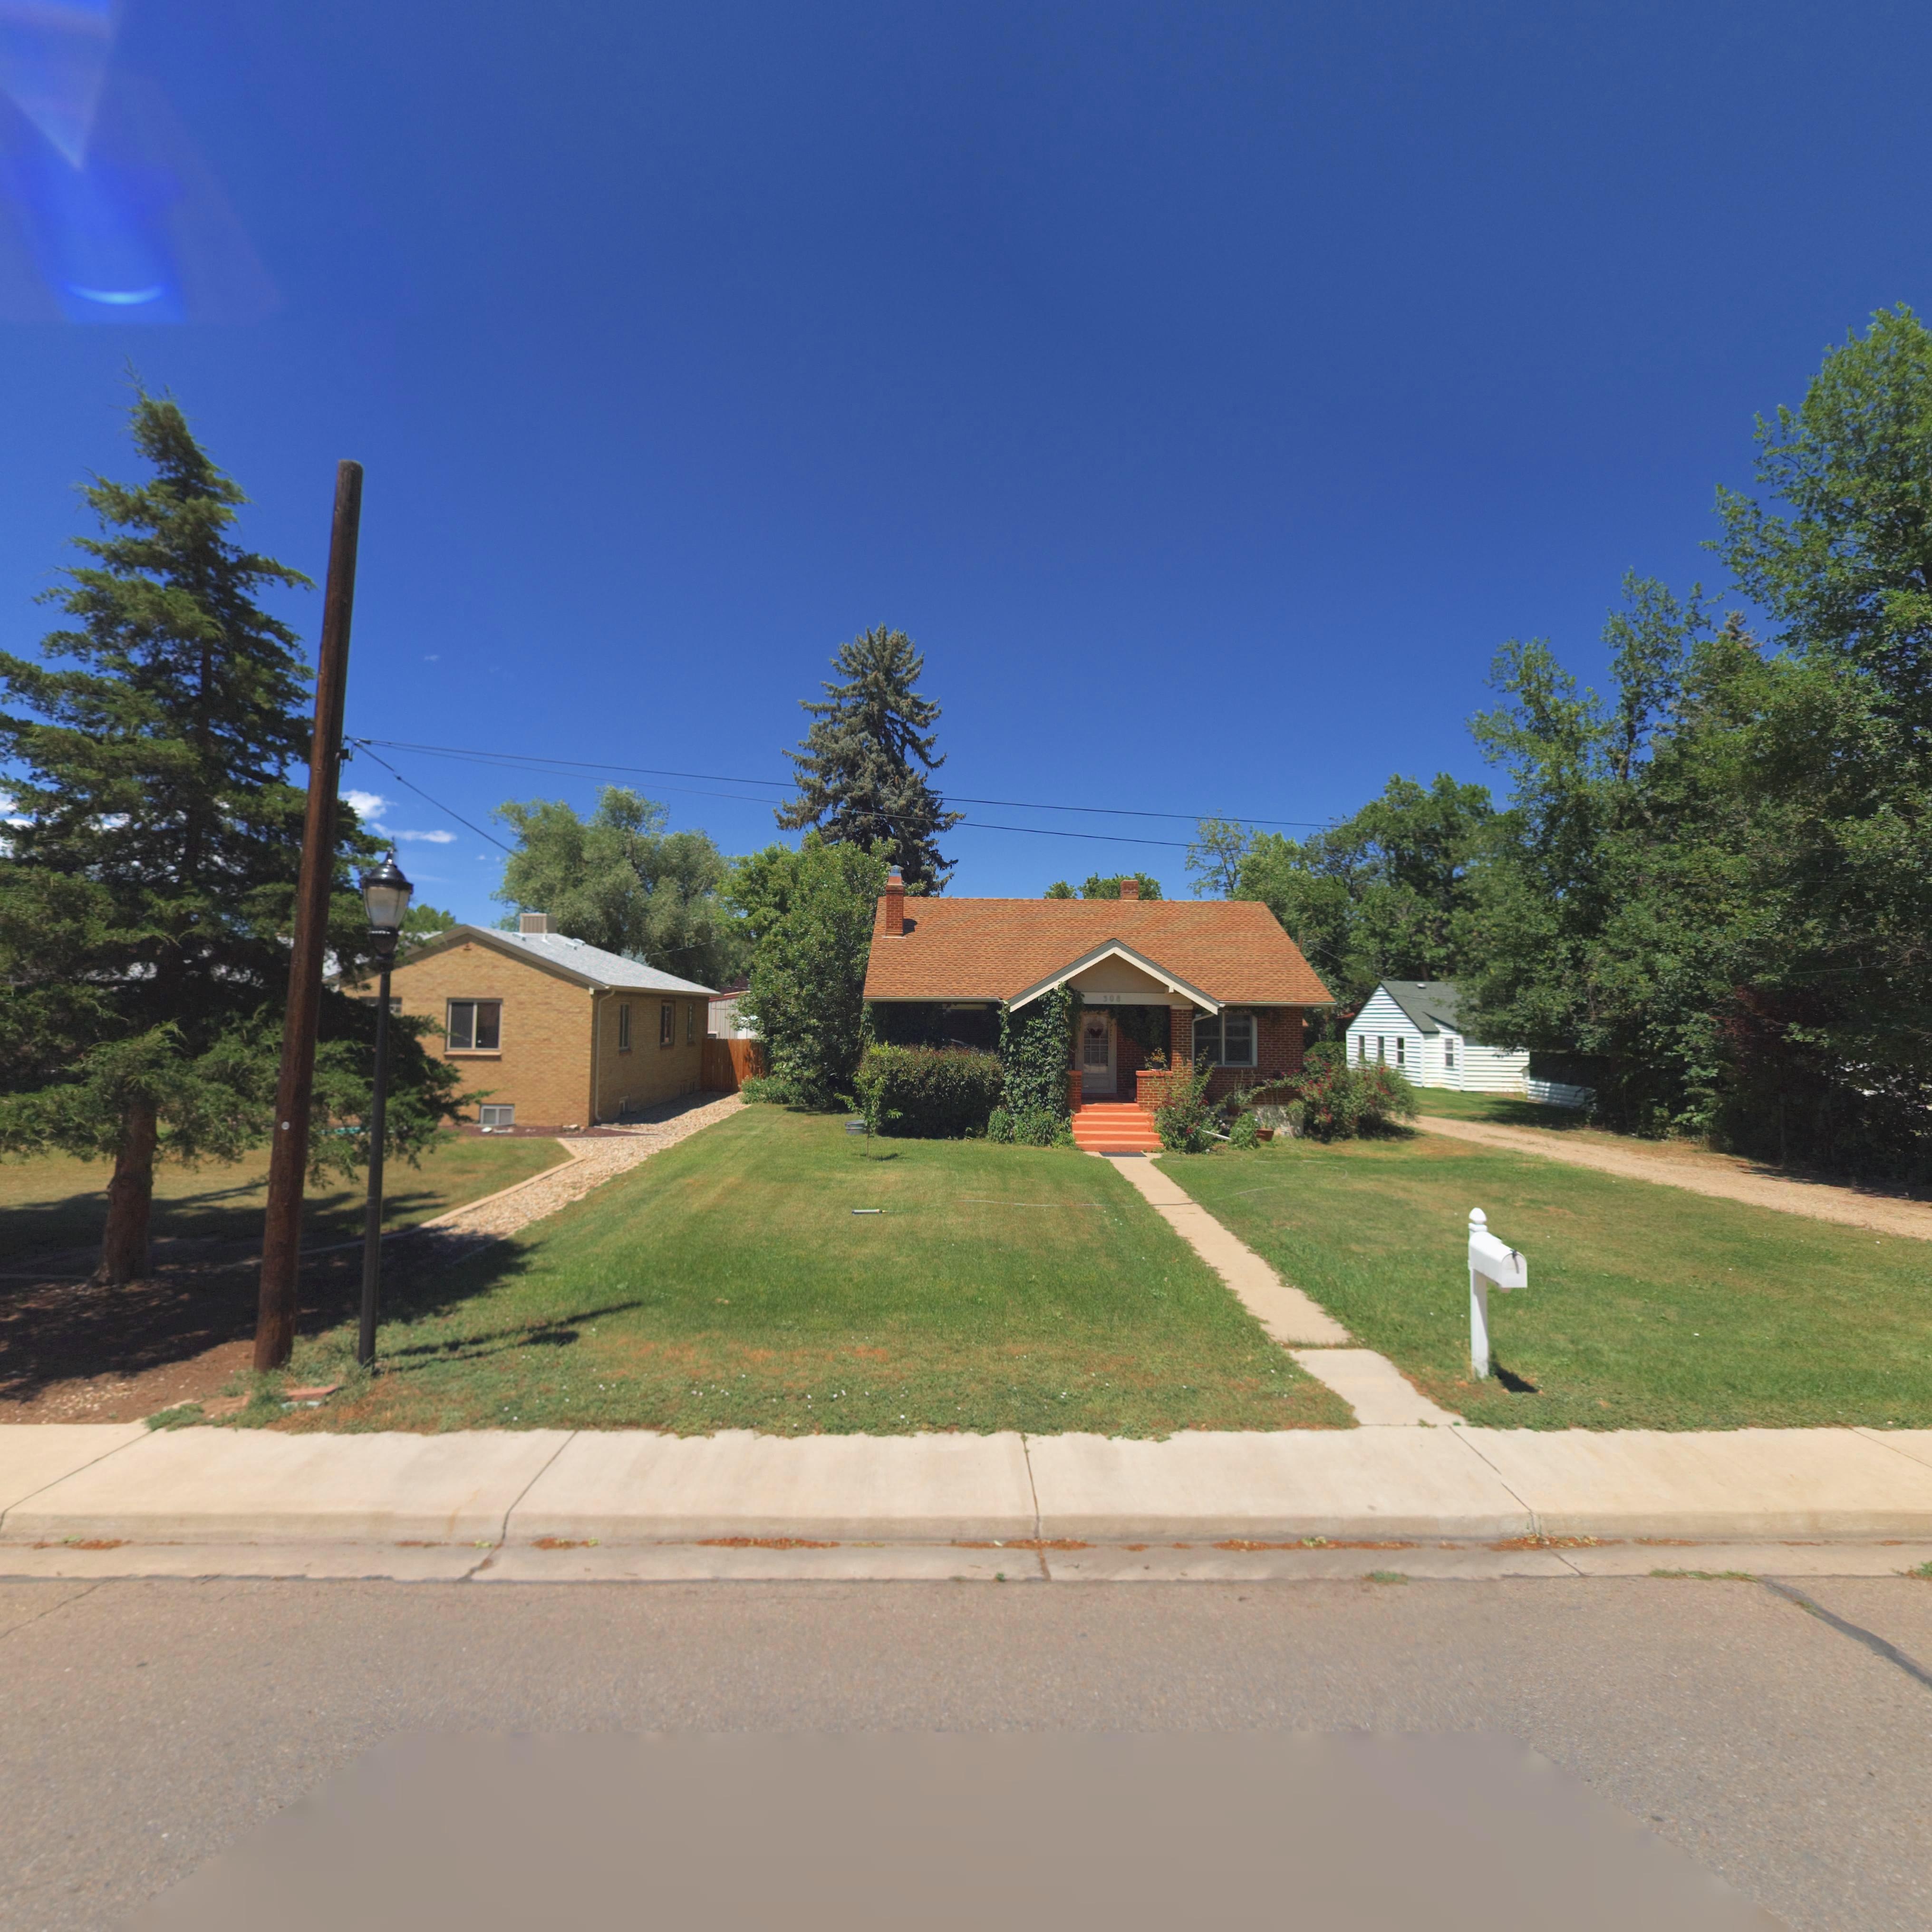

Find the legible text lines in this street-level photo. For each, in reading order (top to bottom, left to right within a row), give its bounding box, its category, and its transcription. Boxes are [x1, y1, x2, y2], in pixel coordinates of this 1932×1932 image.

[1102, 995, 1120, 1003] StreetNumber: 308